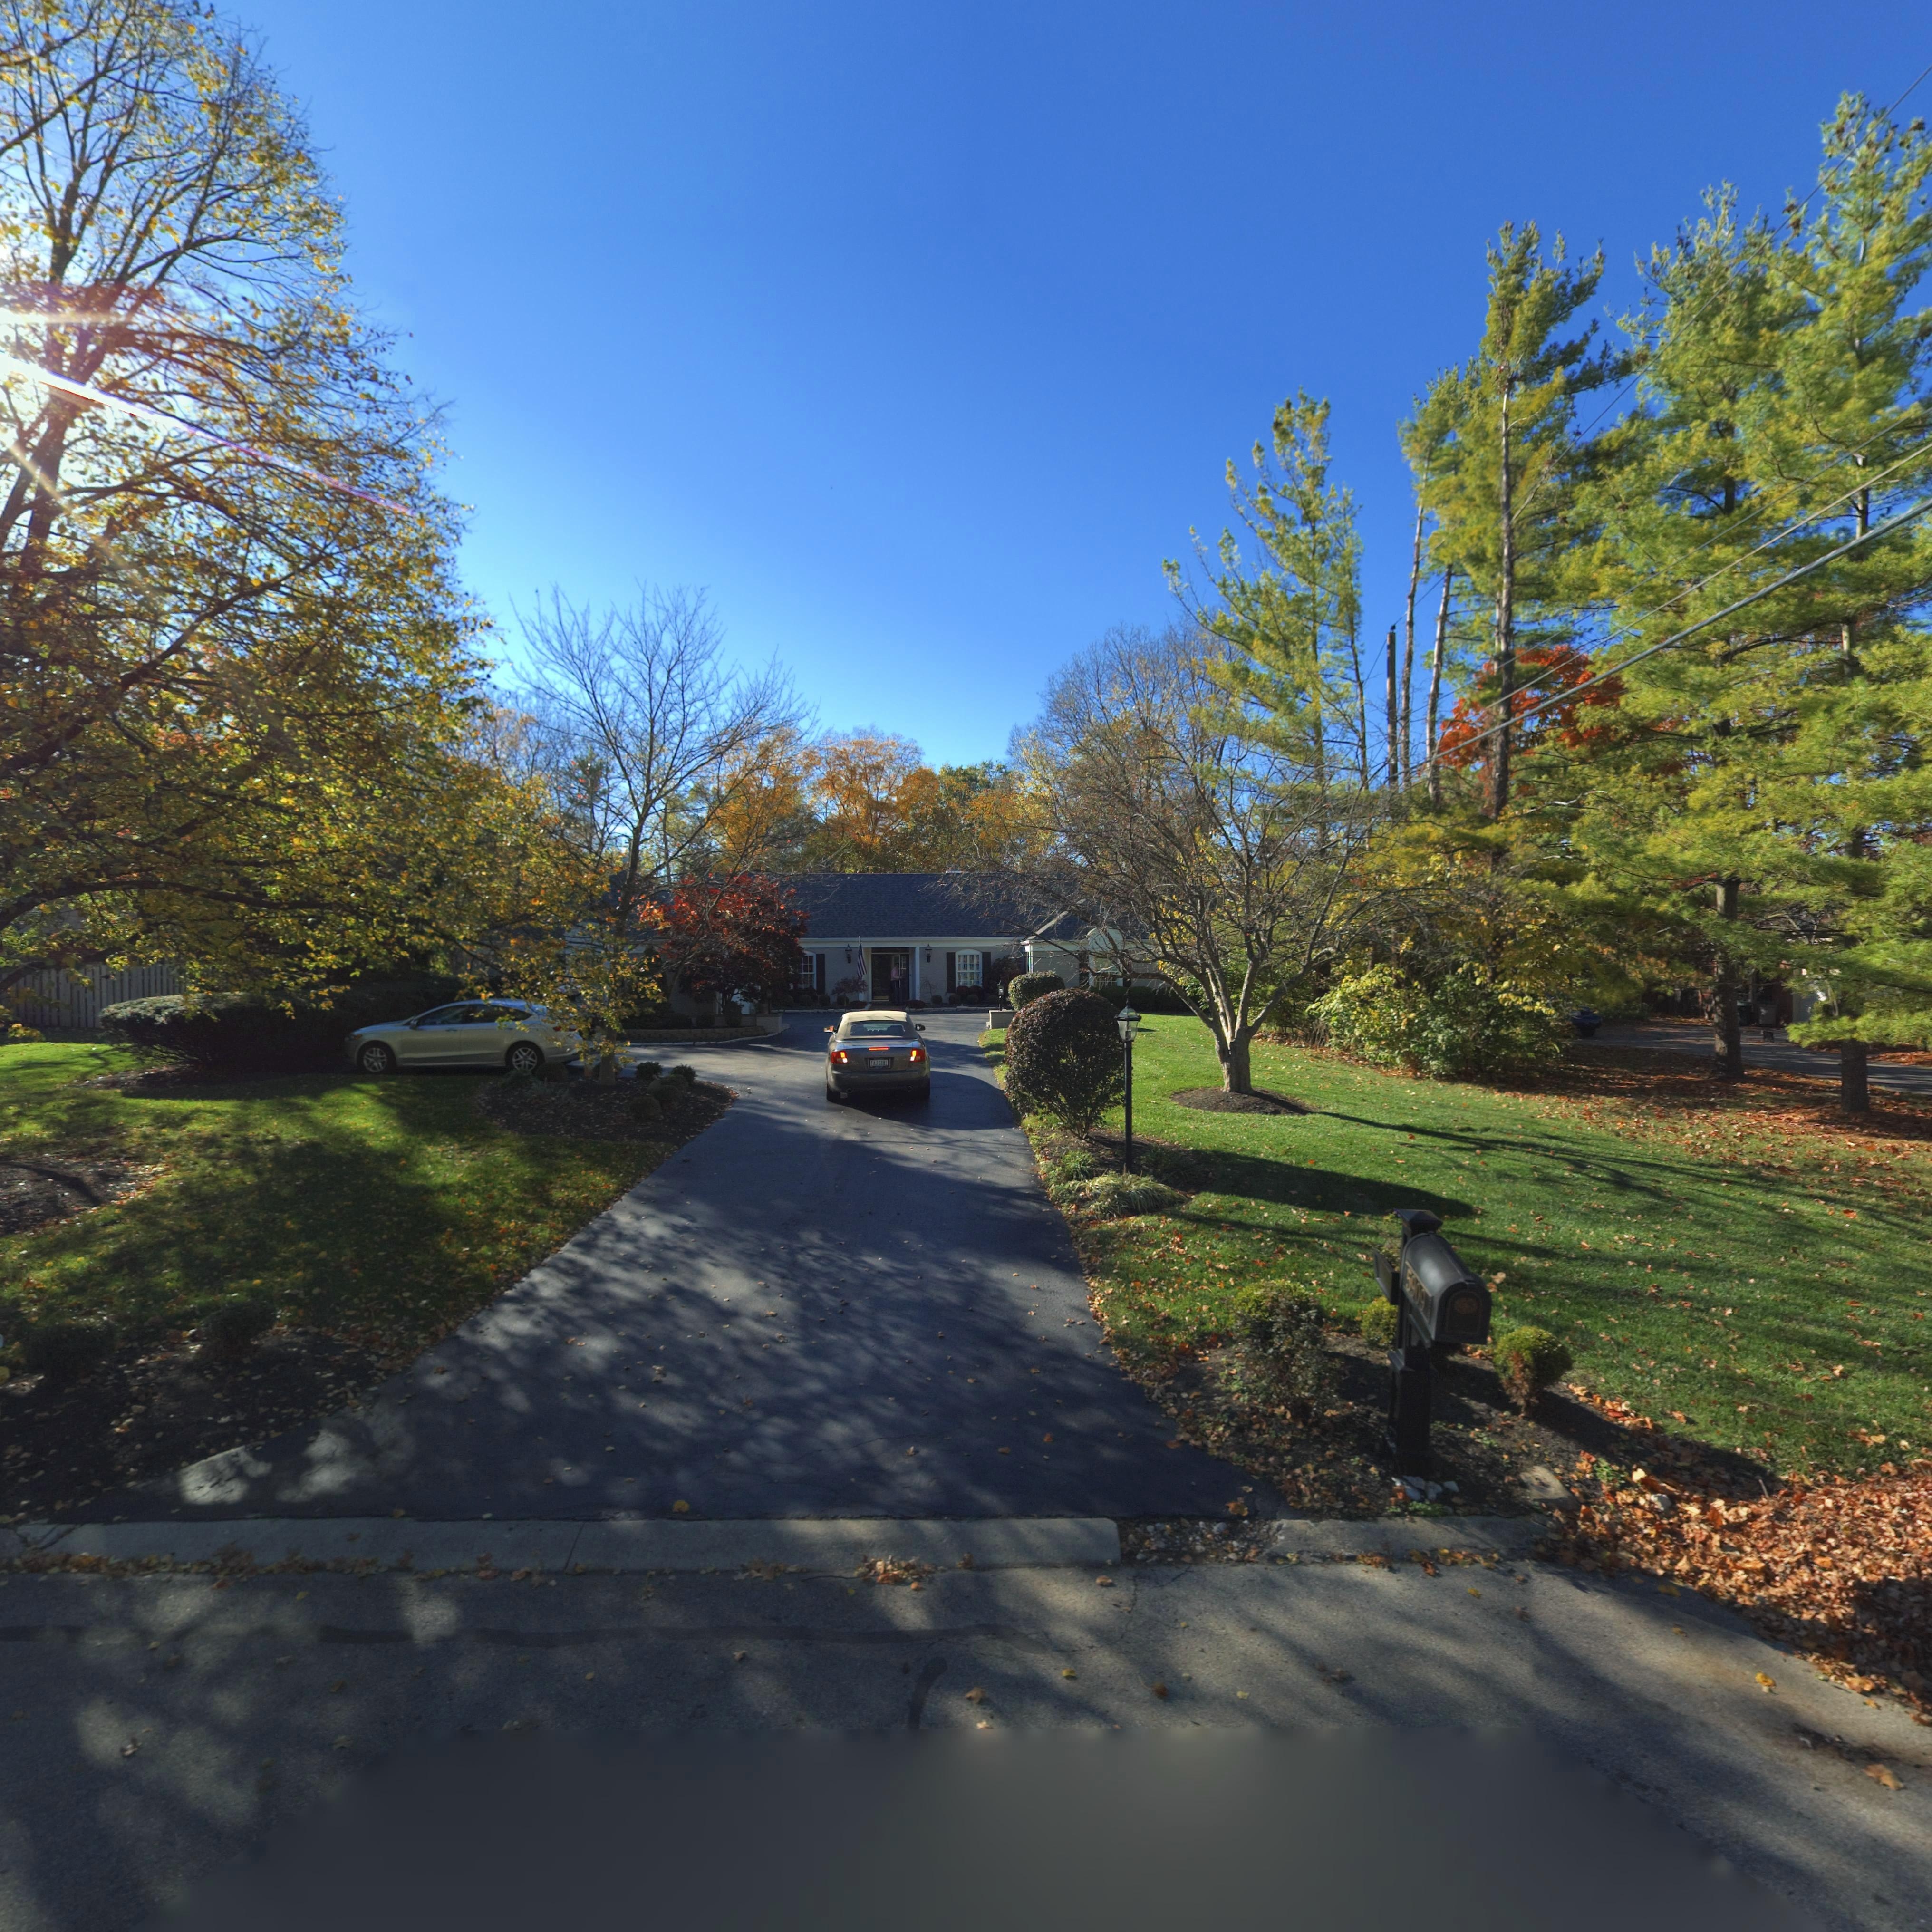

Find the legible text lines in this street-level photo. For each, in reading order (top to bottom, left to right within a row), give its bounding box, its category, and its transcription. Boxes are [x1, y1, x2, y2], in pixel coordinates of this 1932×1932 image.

[1402, 1267, 1428, 1314] StreetNumber: 5909